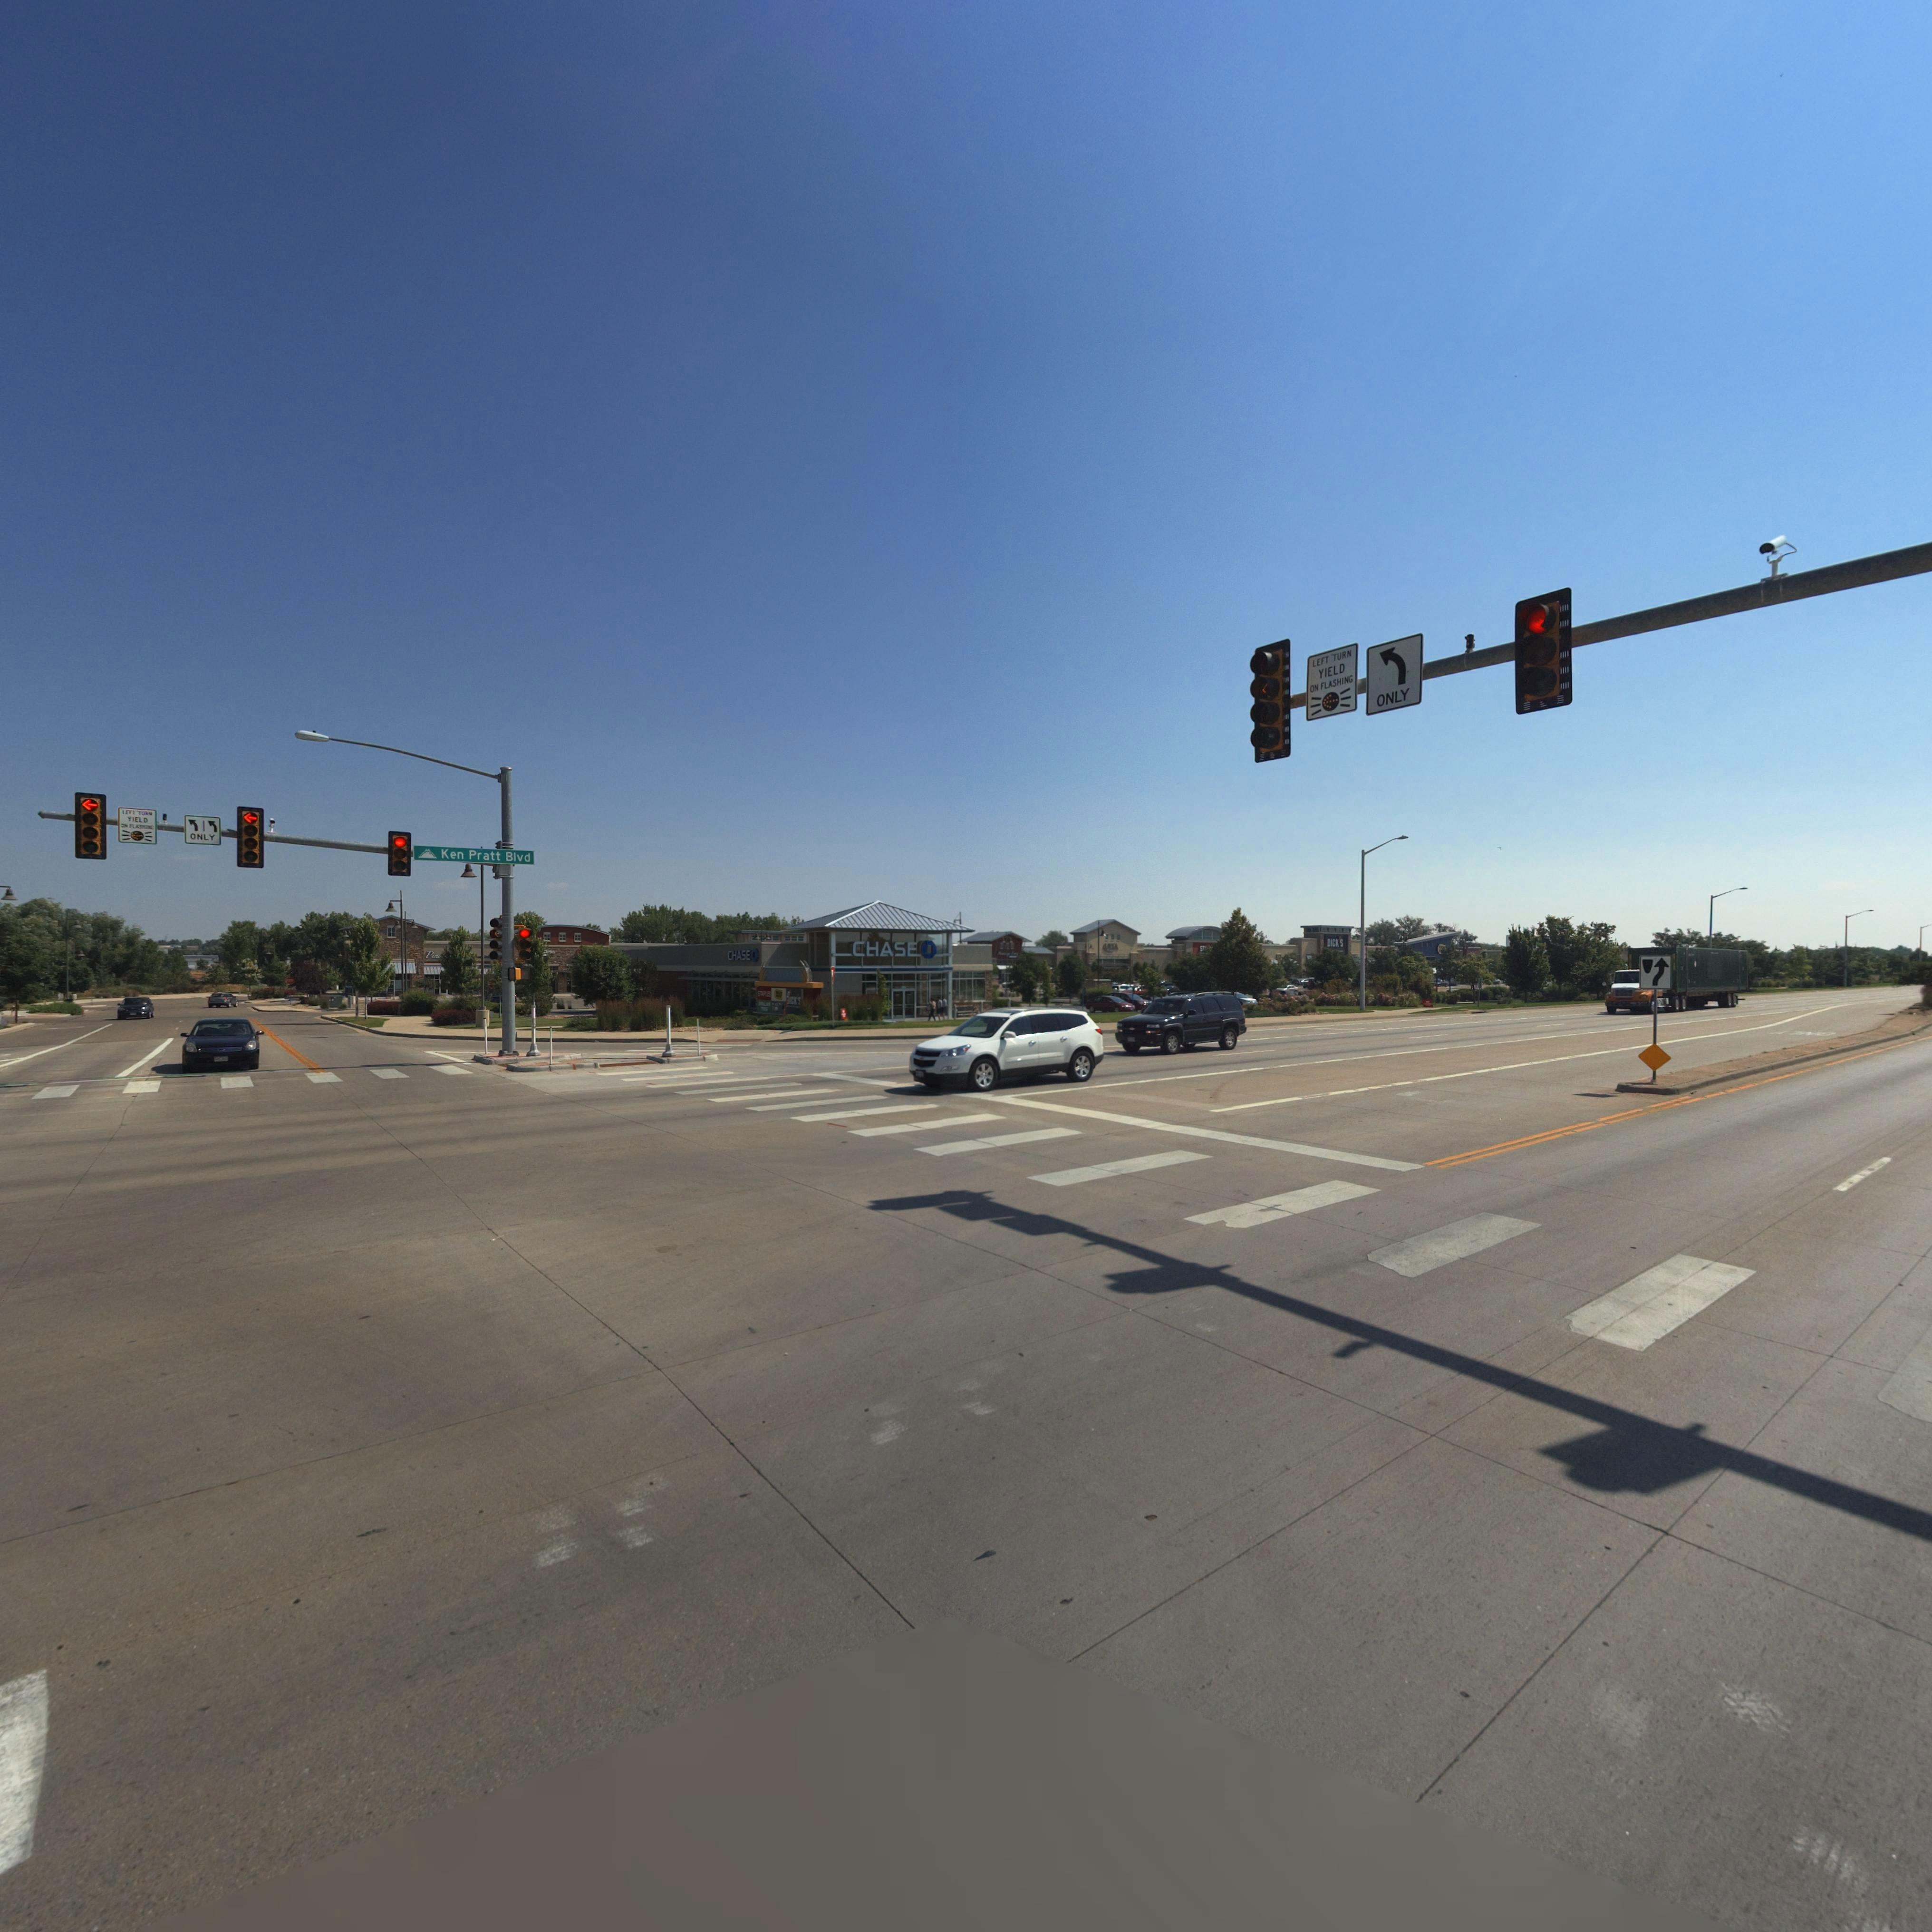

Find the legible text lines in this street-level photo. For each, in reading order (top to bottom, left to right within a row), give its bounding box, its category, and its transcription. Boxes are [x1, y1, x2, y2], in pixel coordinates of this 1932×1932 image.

[440, 847, 531, 862] StreetName: Ken Pratt Blvd
[1326, 936, 1343, 947] BusinessName: DICKS
[853, 940, 920, 956] BusinessName: CHASE
[1104, 942, 1119, 951] BusinessName: ULTA
[1199, 945, 1205, 951] BusinessName: ST
[425, 950, 439, 958] BusinessName: Pin
[727, 949, 751, 961] BusinessName: CHASE
[757, 989, 771, 997] BusinessName: STAPLES
[759, 1001, 771, 1006] BusinessName: DOLLAR
[786, 996, 801, 1005] BusinessName: *ICK'S
[760, 1006, 768, 1012] BusinessName: TREE